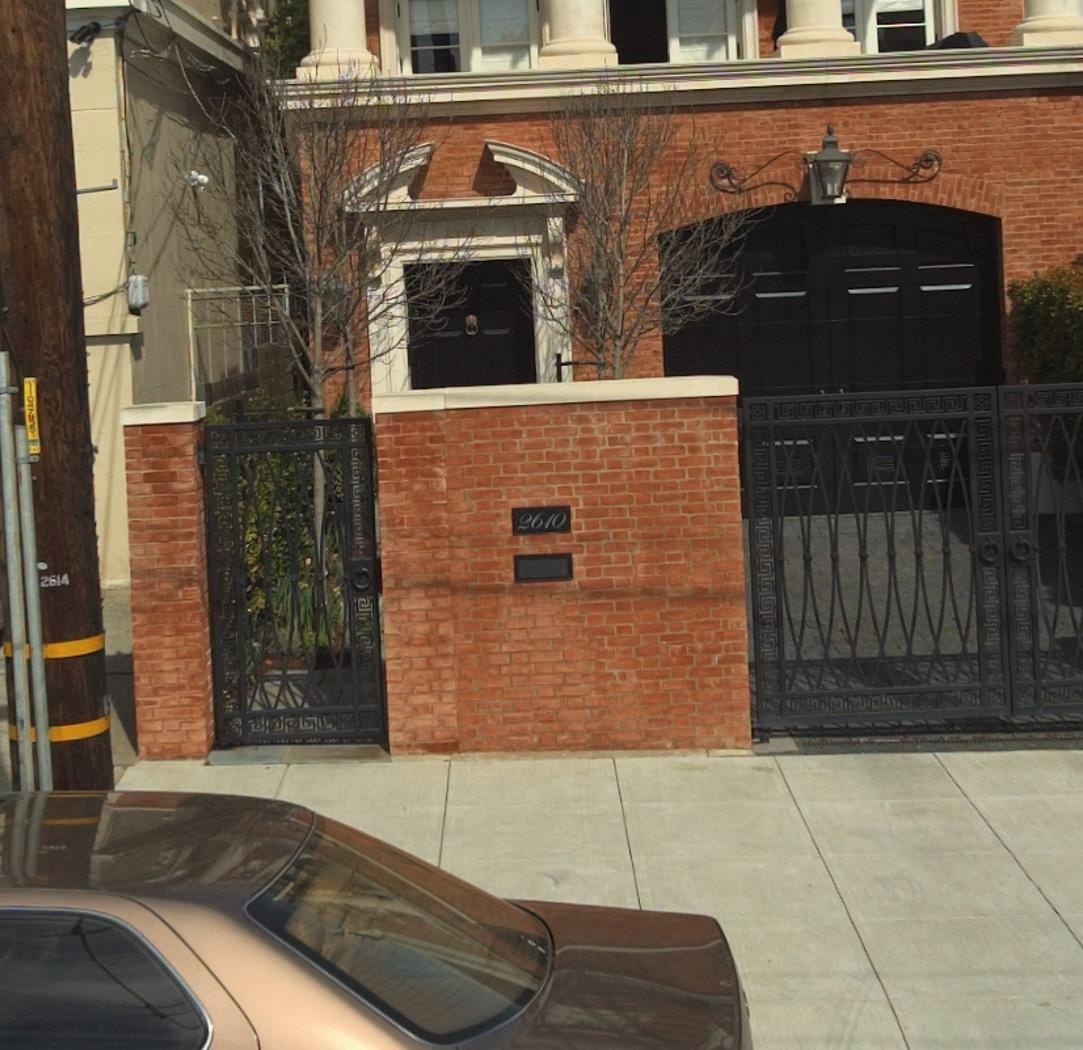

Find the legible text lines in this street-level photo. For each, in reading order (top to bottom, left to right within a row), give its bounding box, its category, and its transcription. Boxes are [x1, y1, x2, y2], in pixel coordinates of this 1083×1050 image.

[514, 511, 569, 532] StreetNumber: 2610
[39, 570, 73, 590] None: 2614